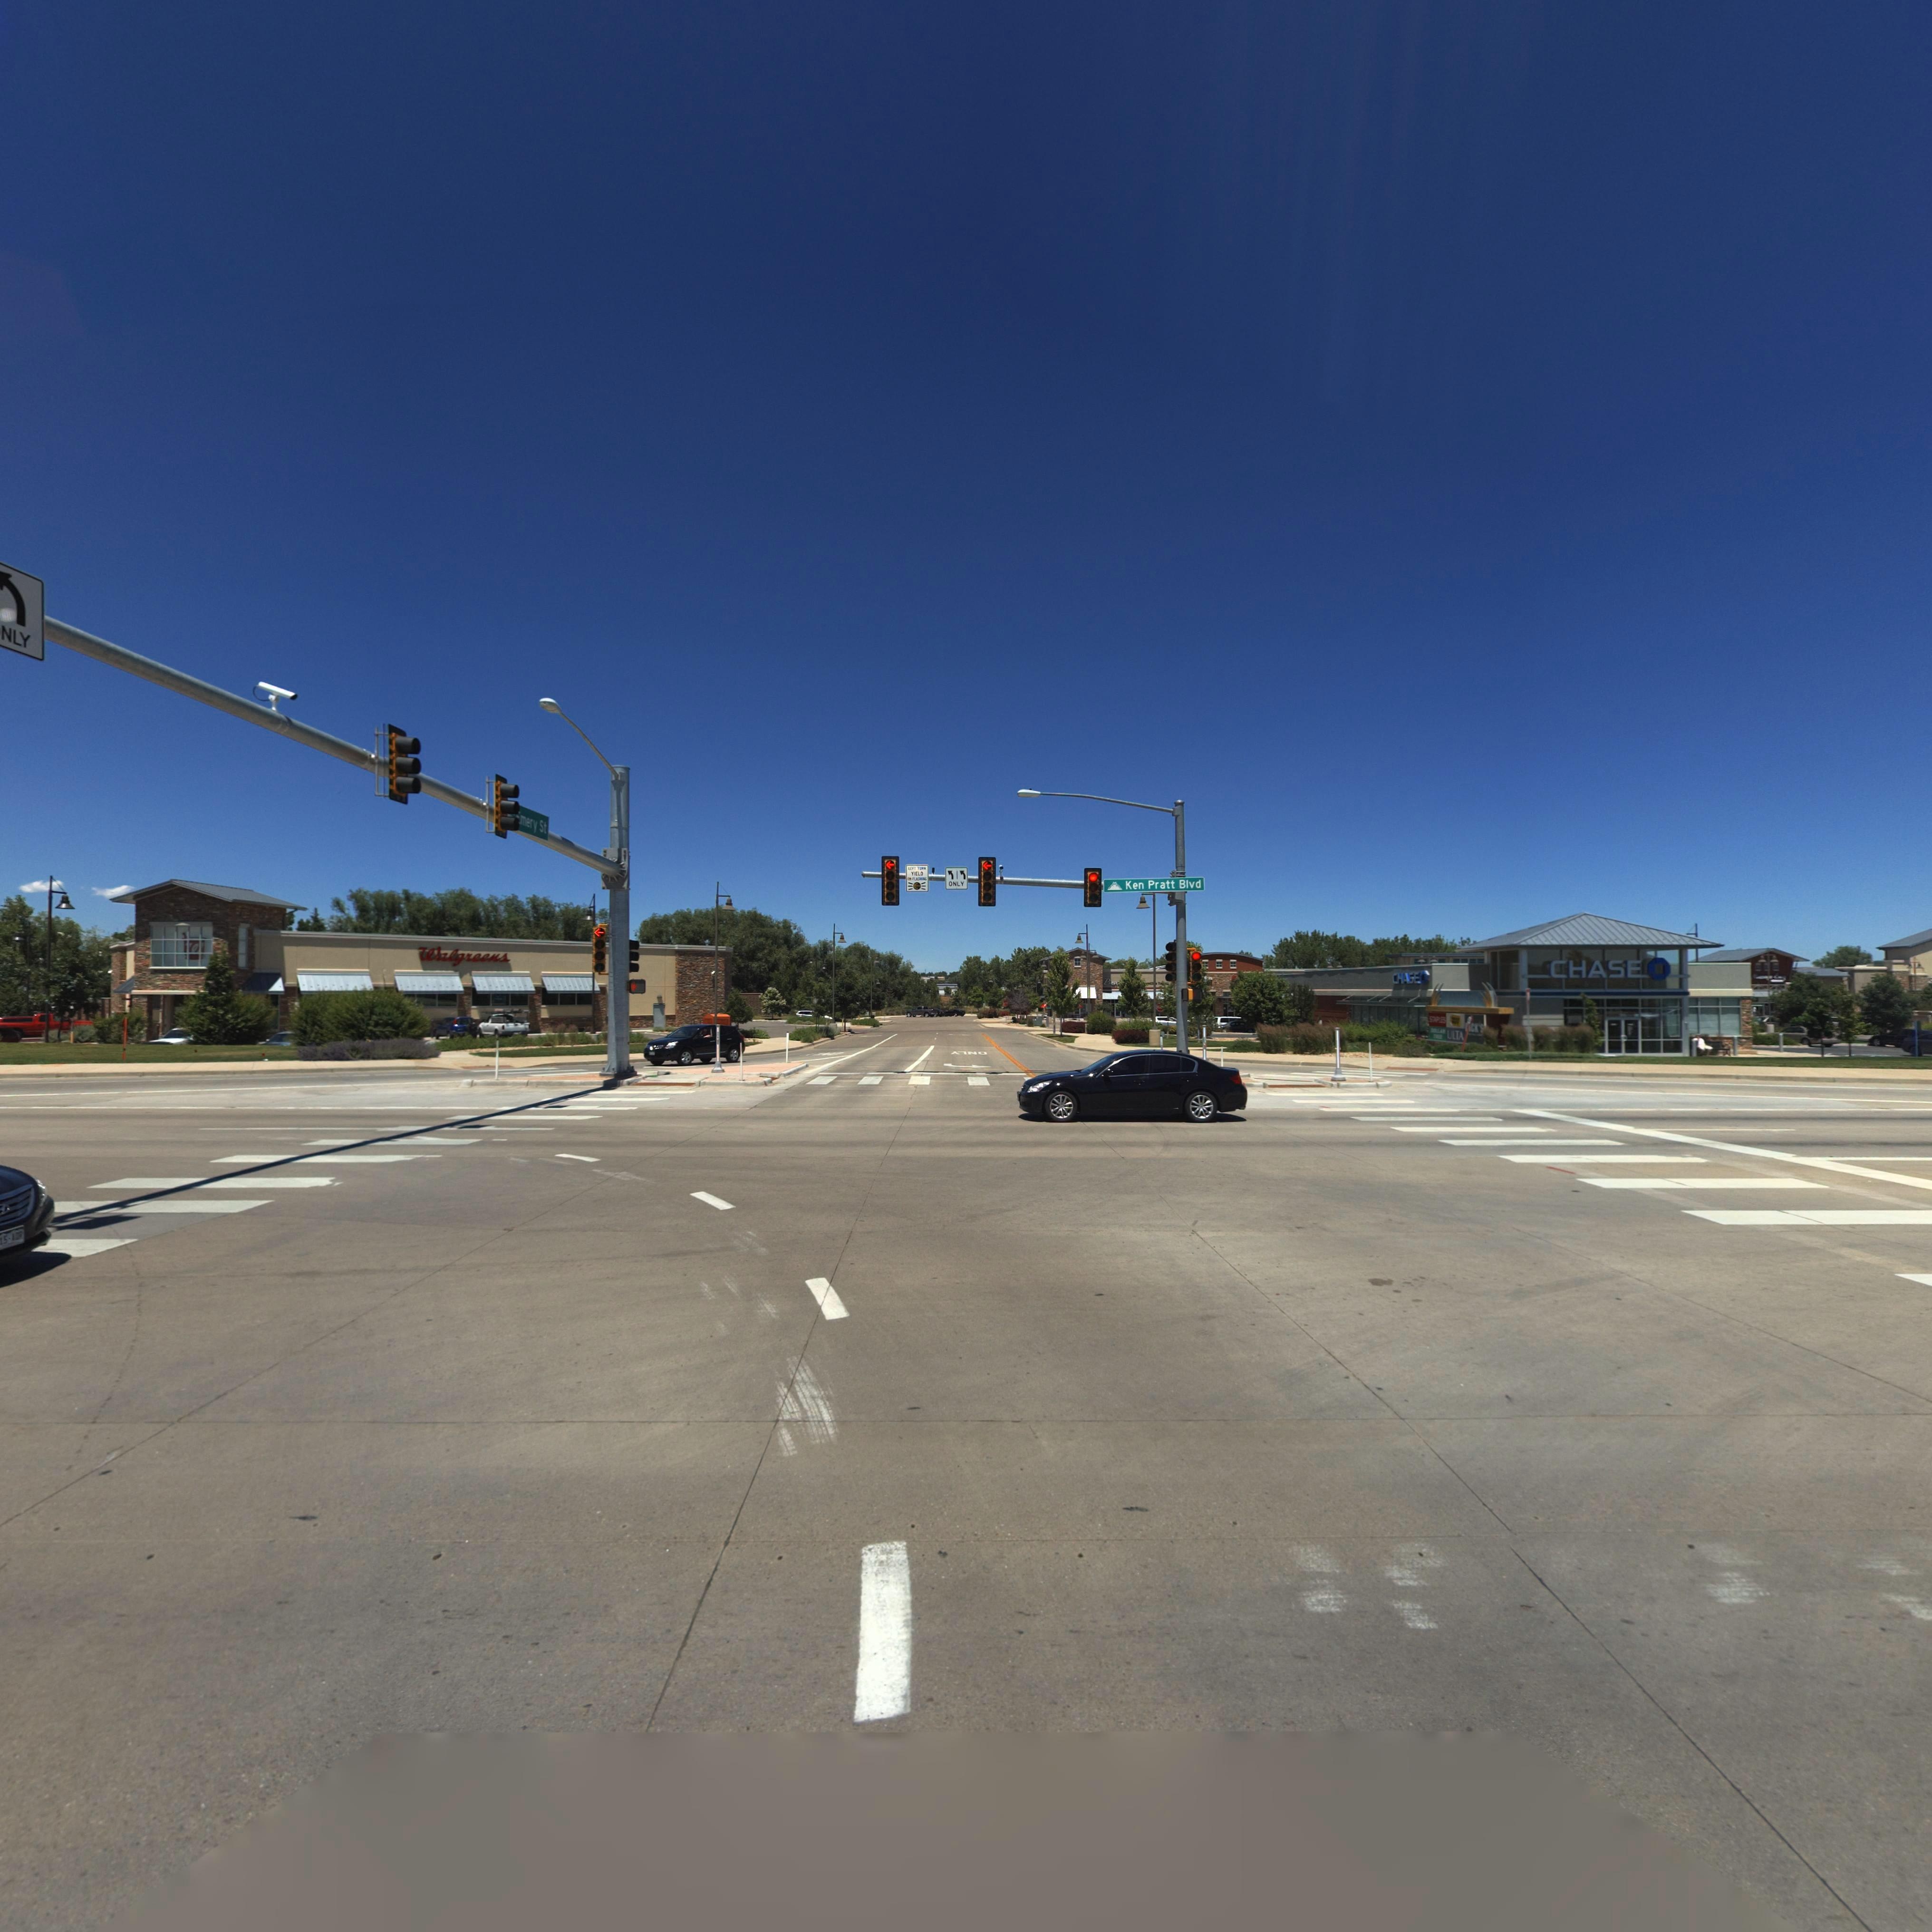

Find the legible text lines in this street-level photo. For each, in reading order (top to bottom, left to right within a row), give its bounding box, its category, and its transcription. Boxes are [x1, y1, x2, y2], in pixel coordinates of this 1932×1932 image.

[520, 815, 547, 834] StreetName: mery St
[1125, 879, 1201, 889] StreetName: Ken Pratt Blvd
[418, 946, 511, 966] BusinessName: Walgreens
[1550, 959, 1641, 978] BusinessName: CHASE
[1391, 972, 1420, 984] BusinessName: CHASE
[1429, 1016, 1446, 1023] BusinessName: STAPLES
[1433, 1034, 1442, 1038] BusinessName: TREE
[1430, 1027, 1446, 1034] BusinessName: DOLLAR
[1447, 1030, 1464, 1040] BusinessName: ULTA
[1470, 1023, 1483, 1033] BusinessName: CK'S